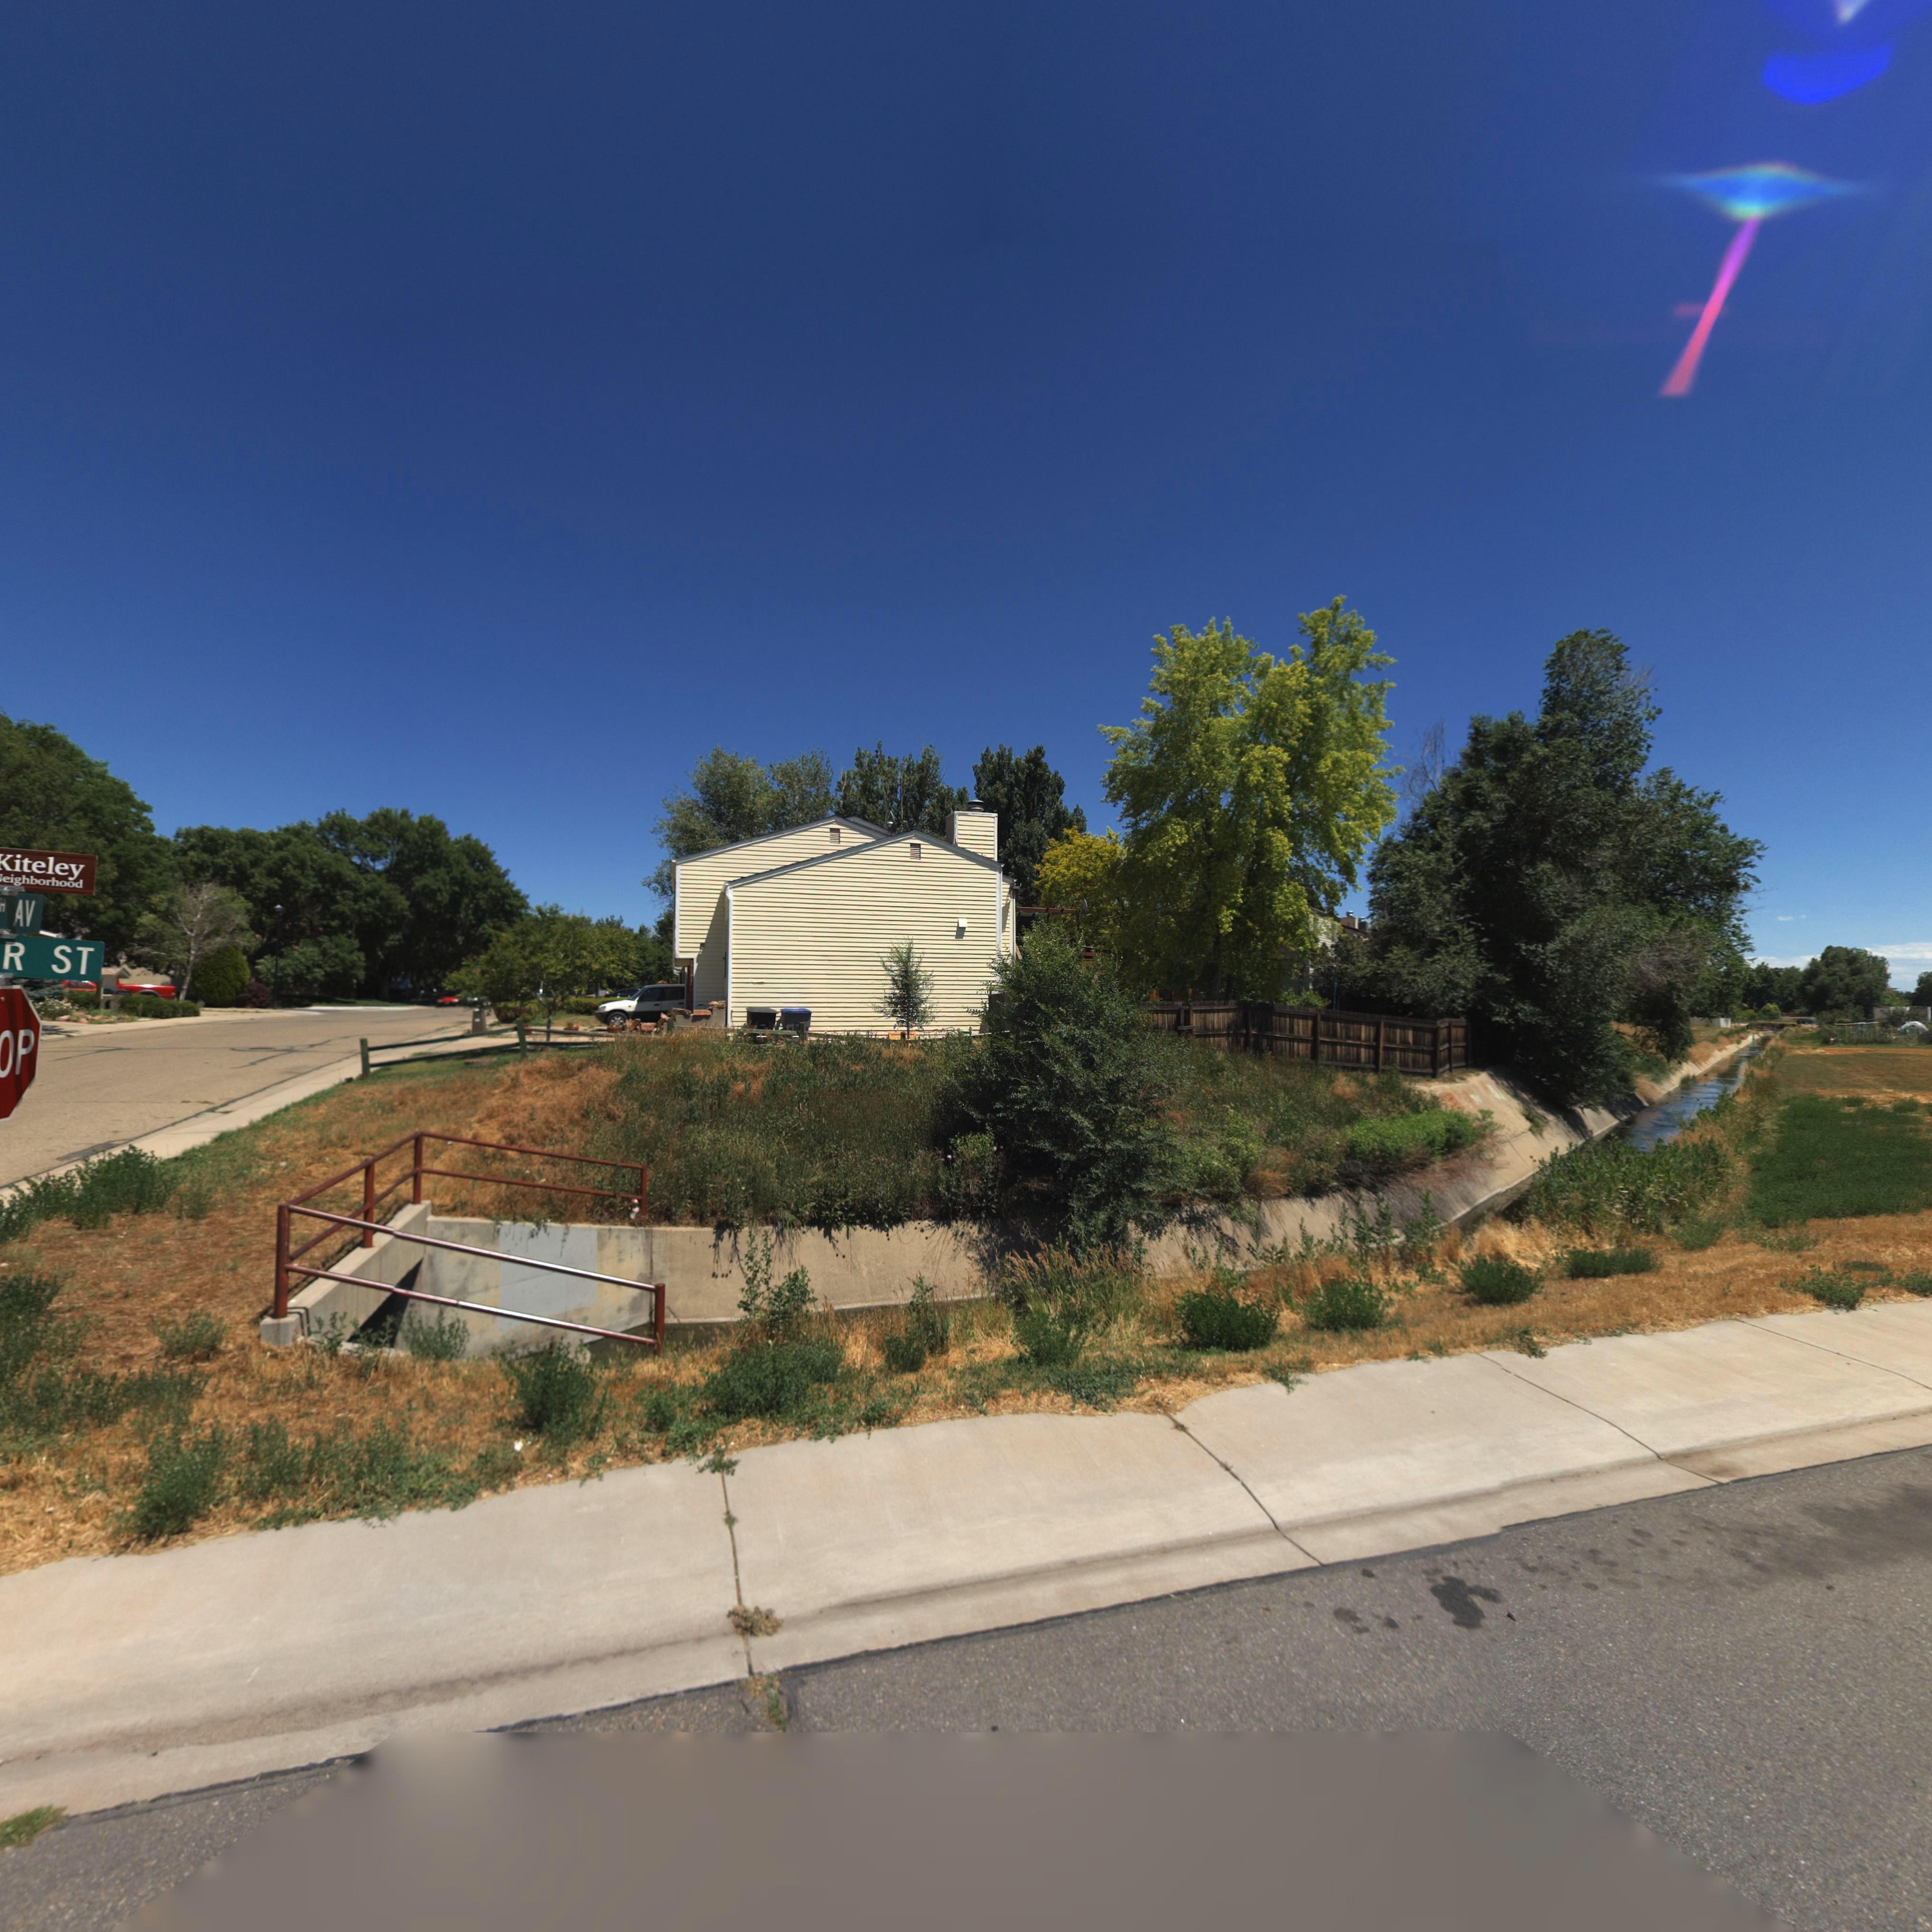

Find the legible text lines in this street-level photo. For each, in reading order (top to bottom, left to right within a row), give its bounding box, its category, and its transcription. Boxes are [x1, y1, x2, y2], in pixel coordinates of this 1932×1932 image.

[10, 896, 38, 927] StreetName: AV
[1, 940, 96, 976] StreetName: R ST